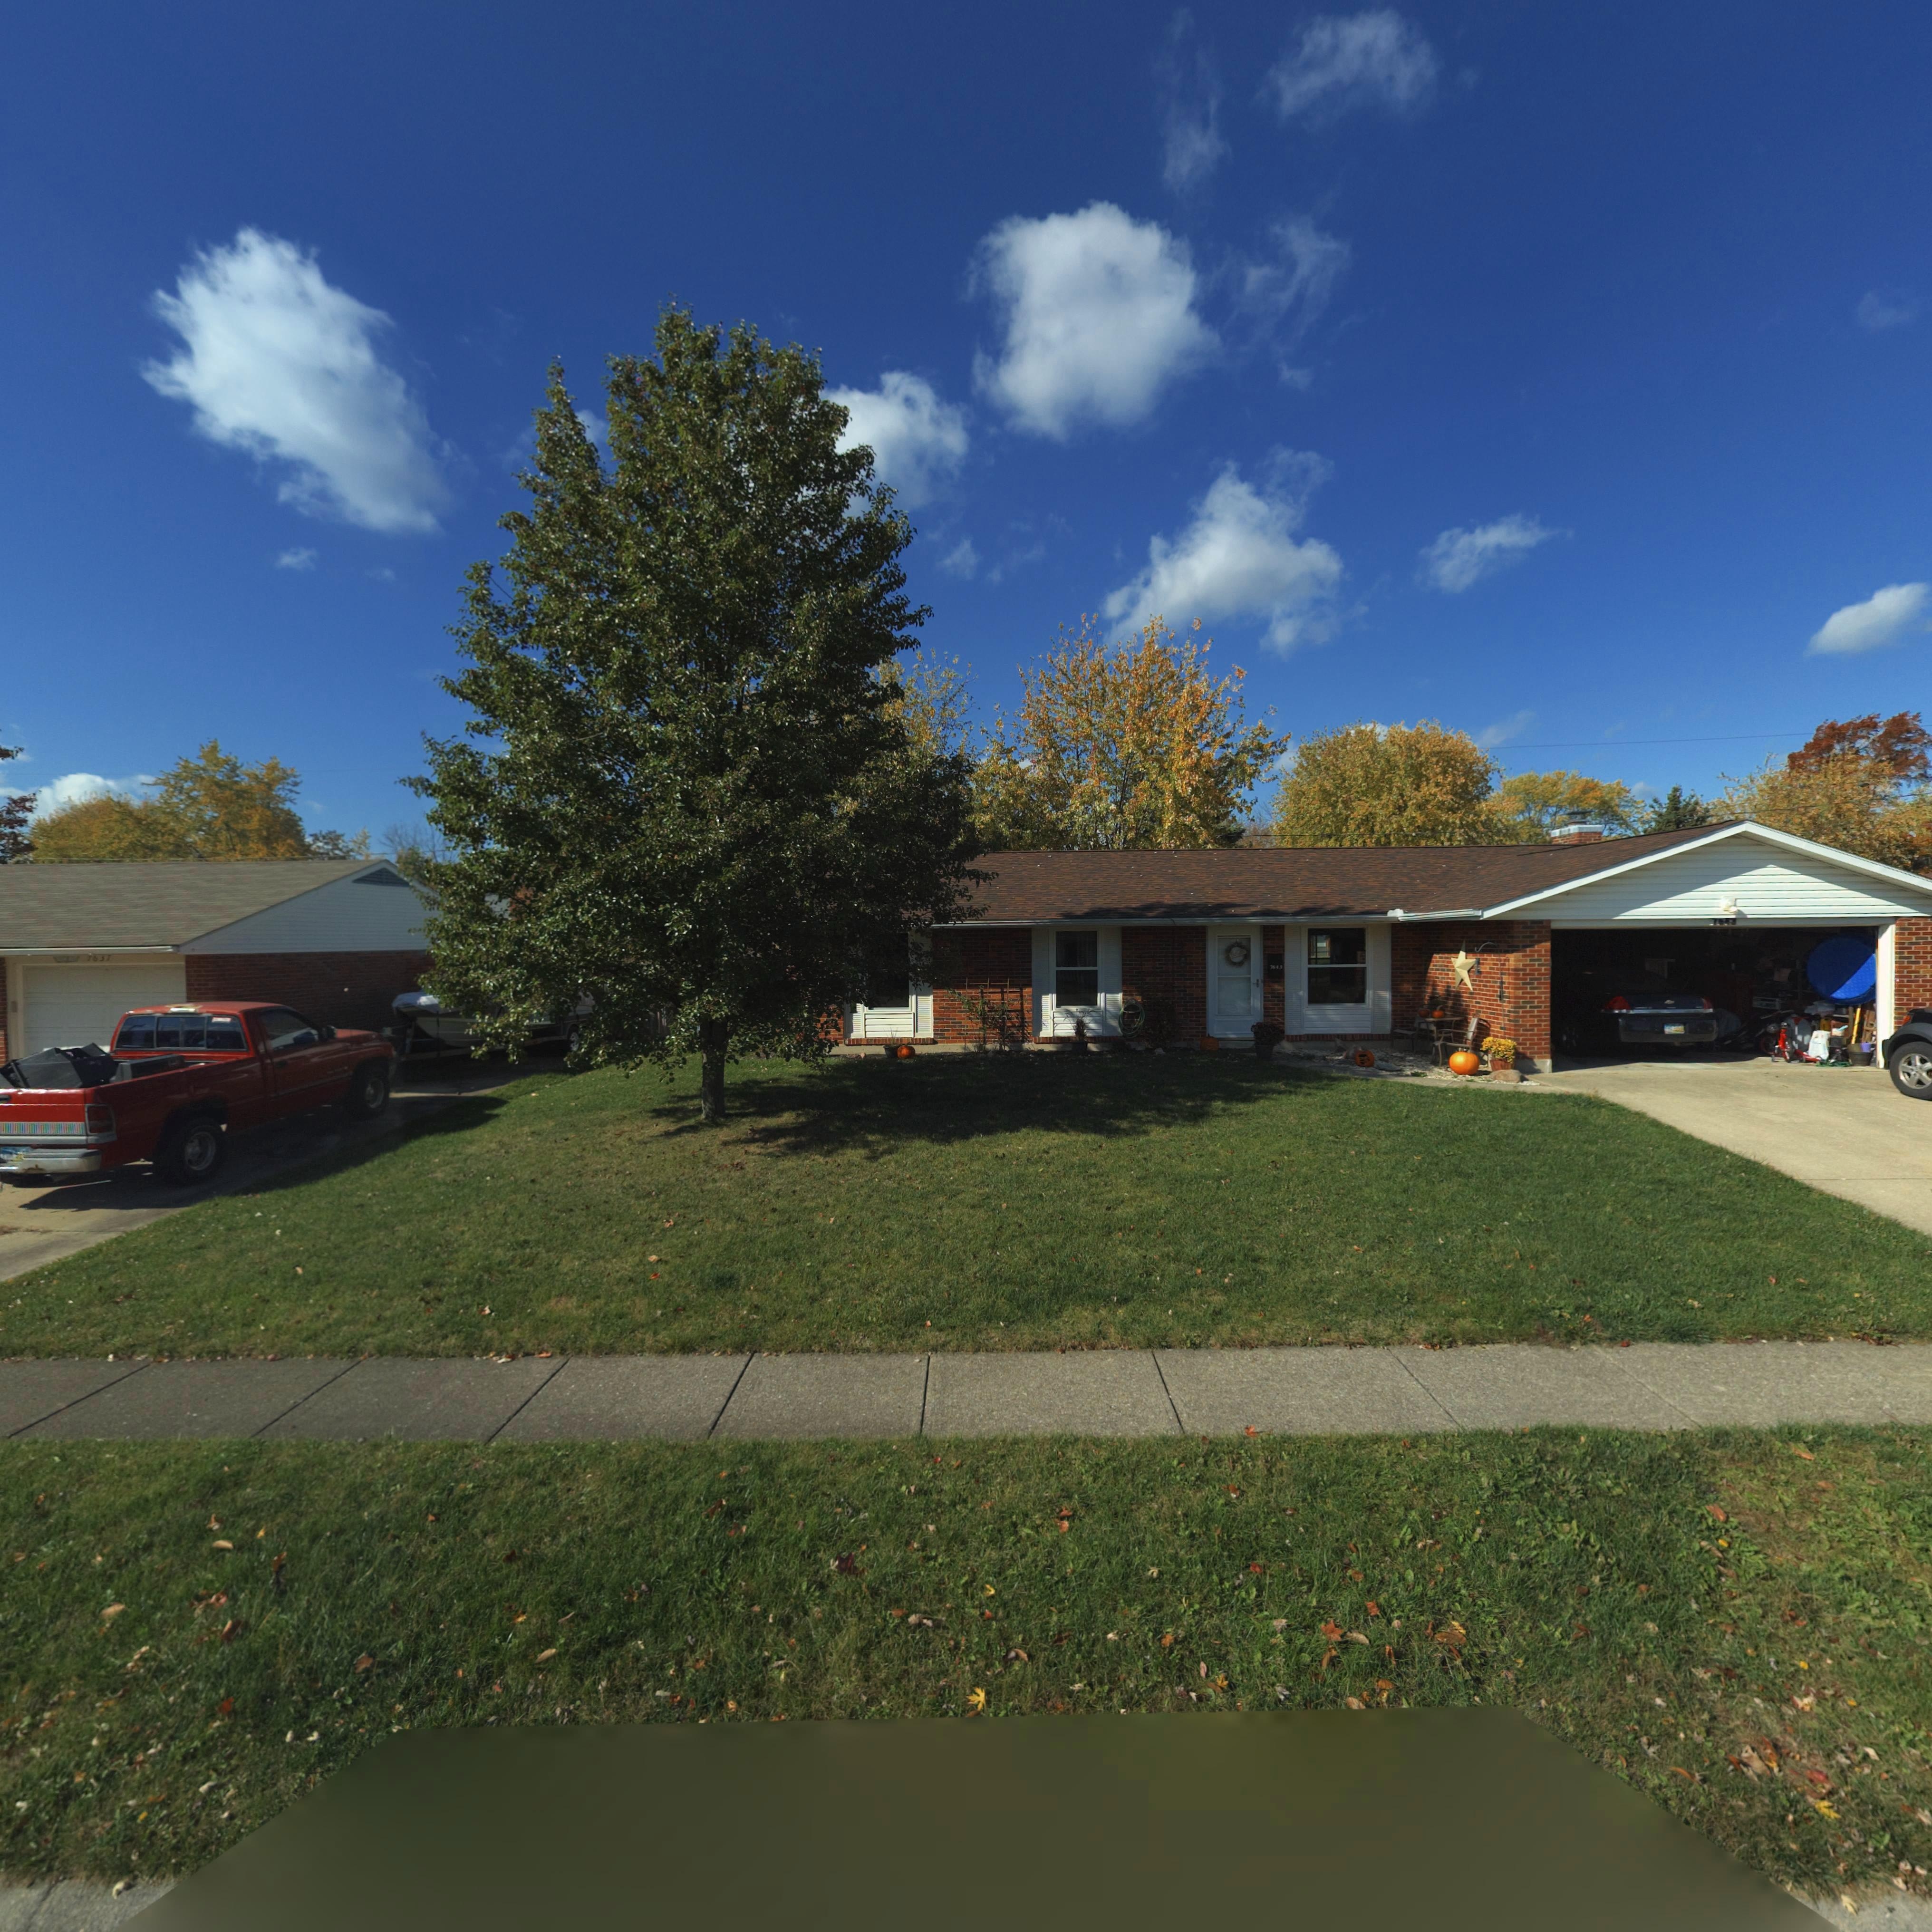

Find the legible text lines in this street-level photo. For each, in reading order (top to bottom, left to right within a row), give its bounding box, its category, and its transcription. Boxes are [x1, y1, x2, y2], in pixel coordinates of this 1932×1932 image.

[86, 954, 112, 963] StreetNumber: *6**
[1269, 964, 1284, 971] StreetNumber: 764*